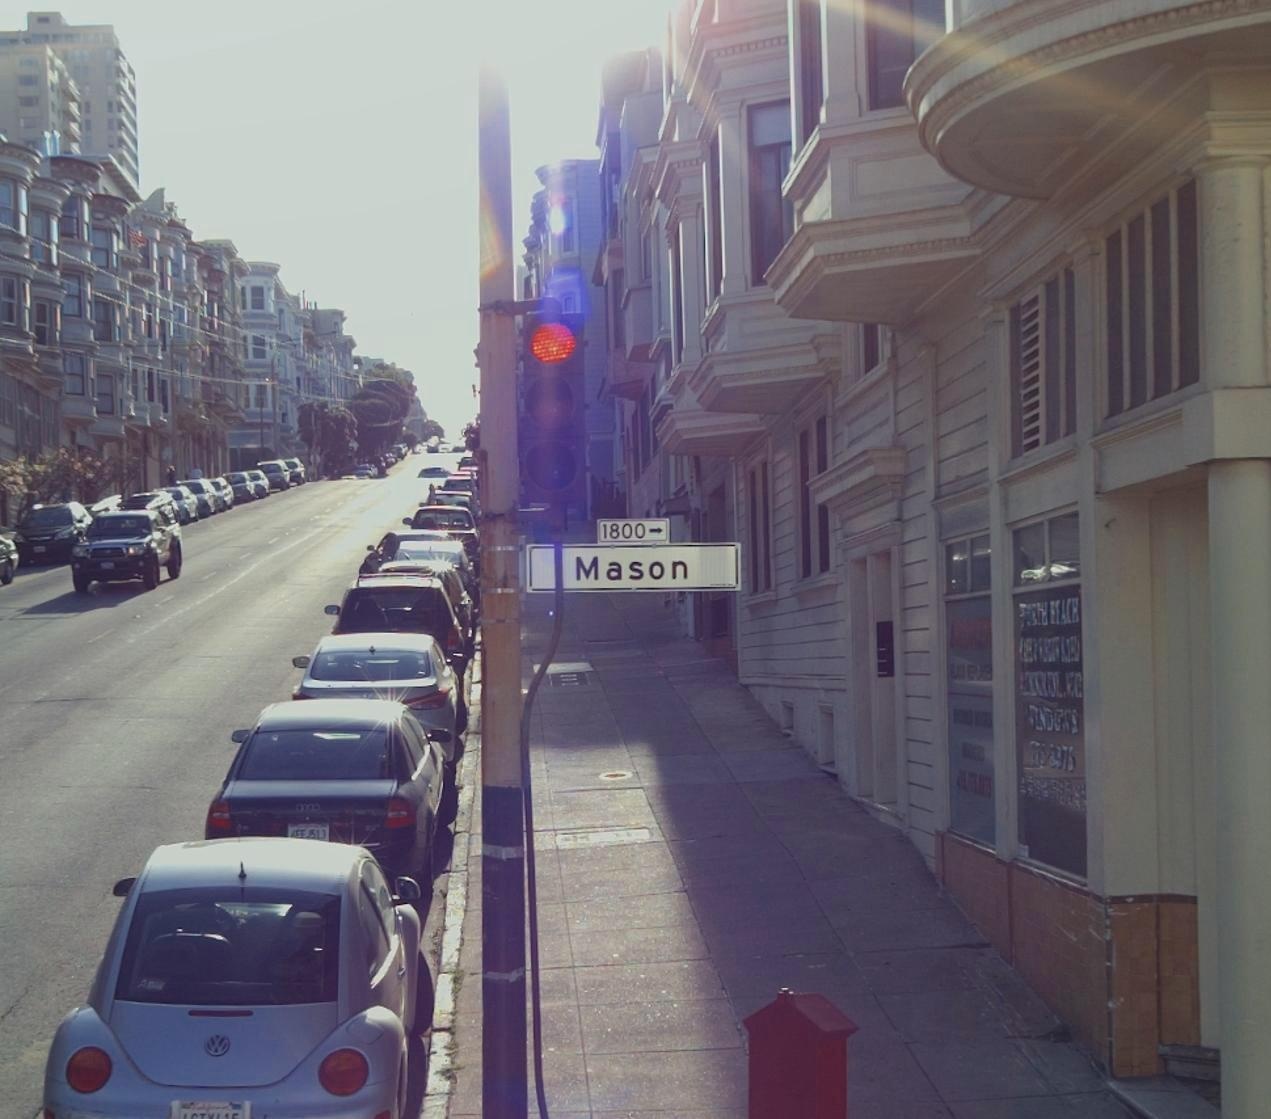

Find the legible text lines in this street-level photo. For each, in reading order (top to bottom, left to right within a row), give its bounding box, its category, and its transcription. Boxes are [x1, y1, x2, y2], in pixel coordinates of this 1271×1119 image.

[599, 520, 665, 542] StreetNumberRange: 1800->
[572, 553, 690, 584] StreetName: Mason
[304, 827, 329, 842] None: J513